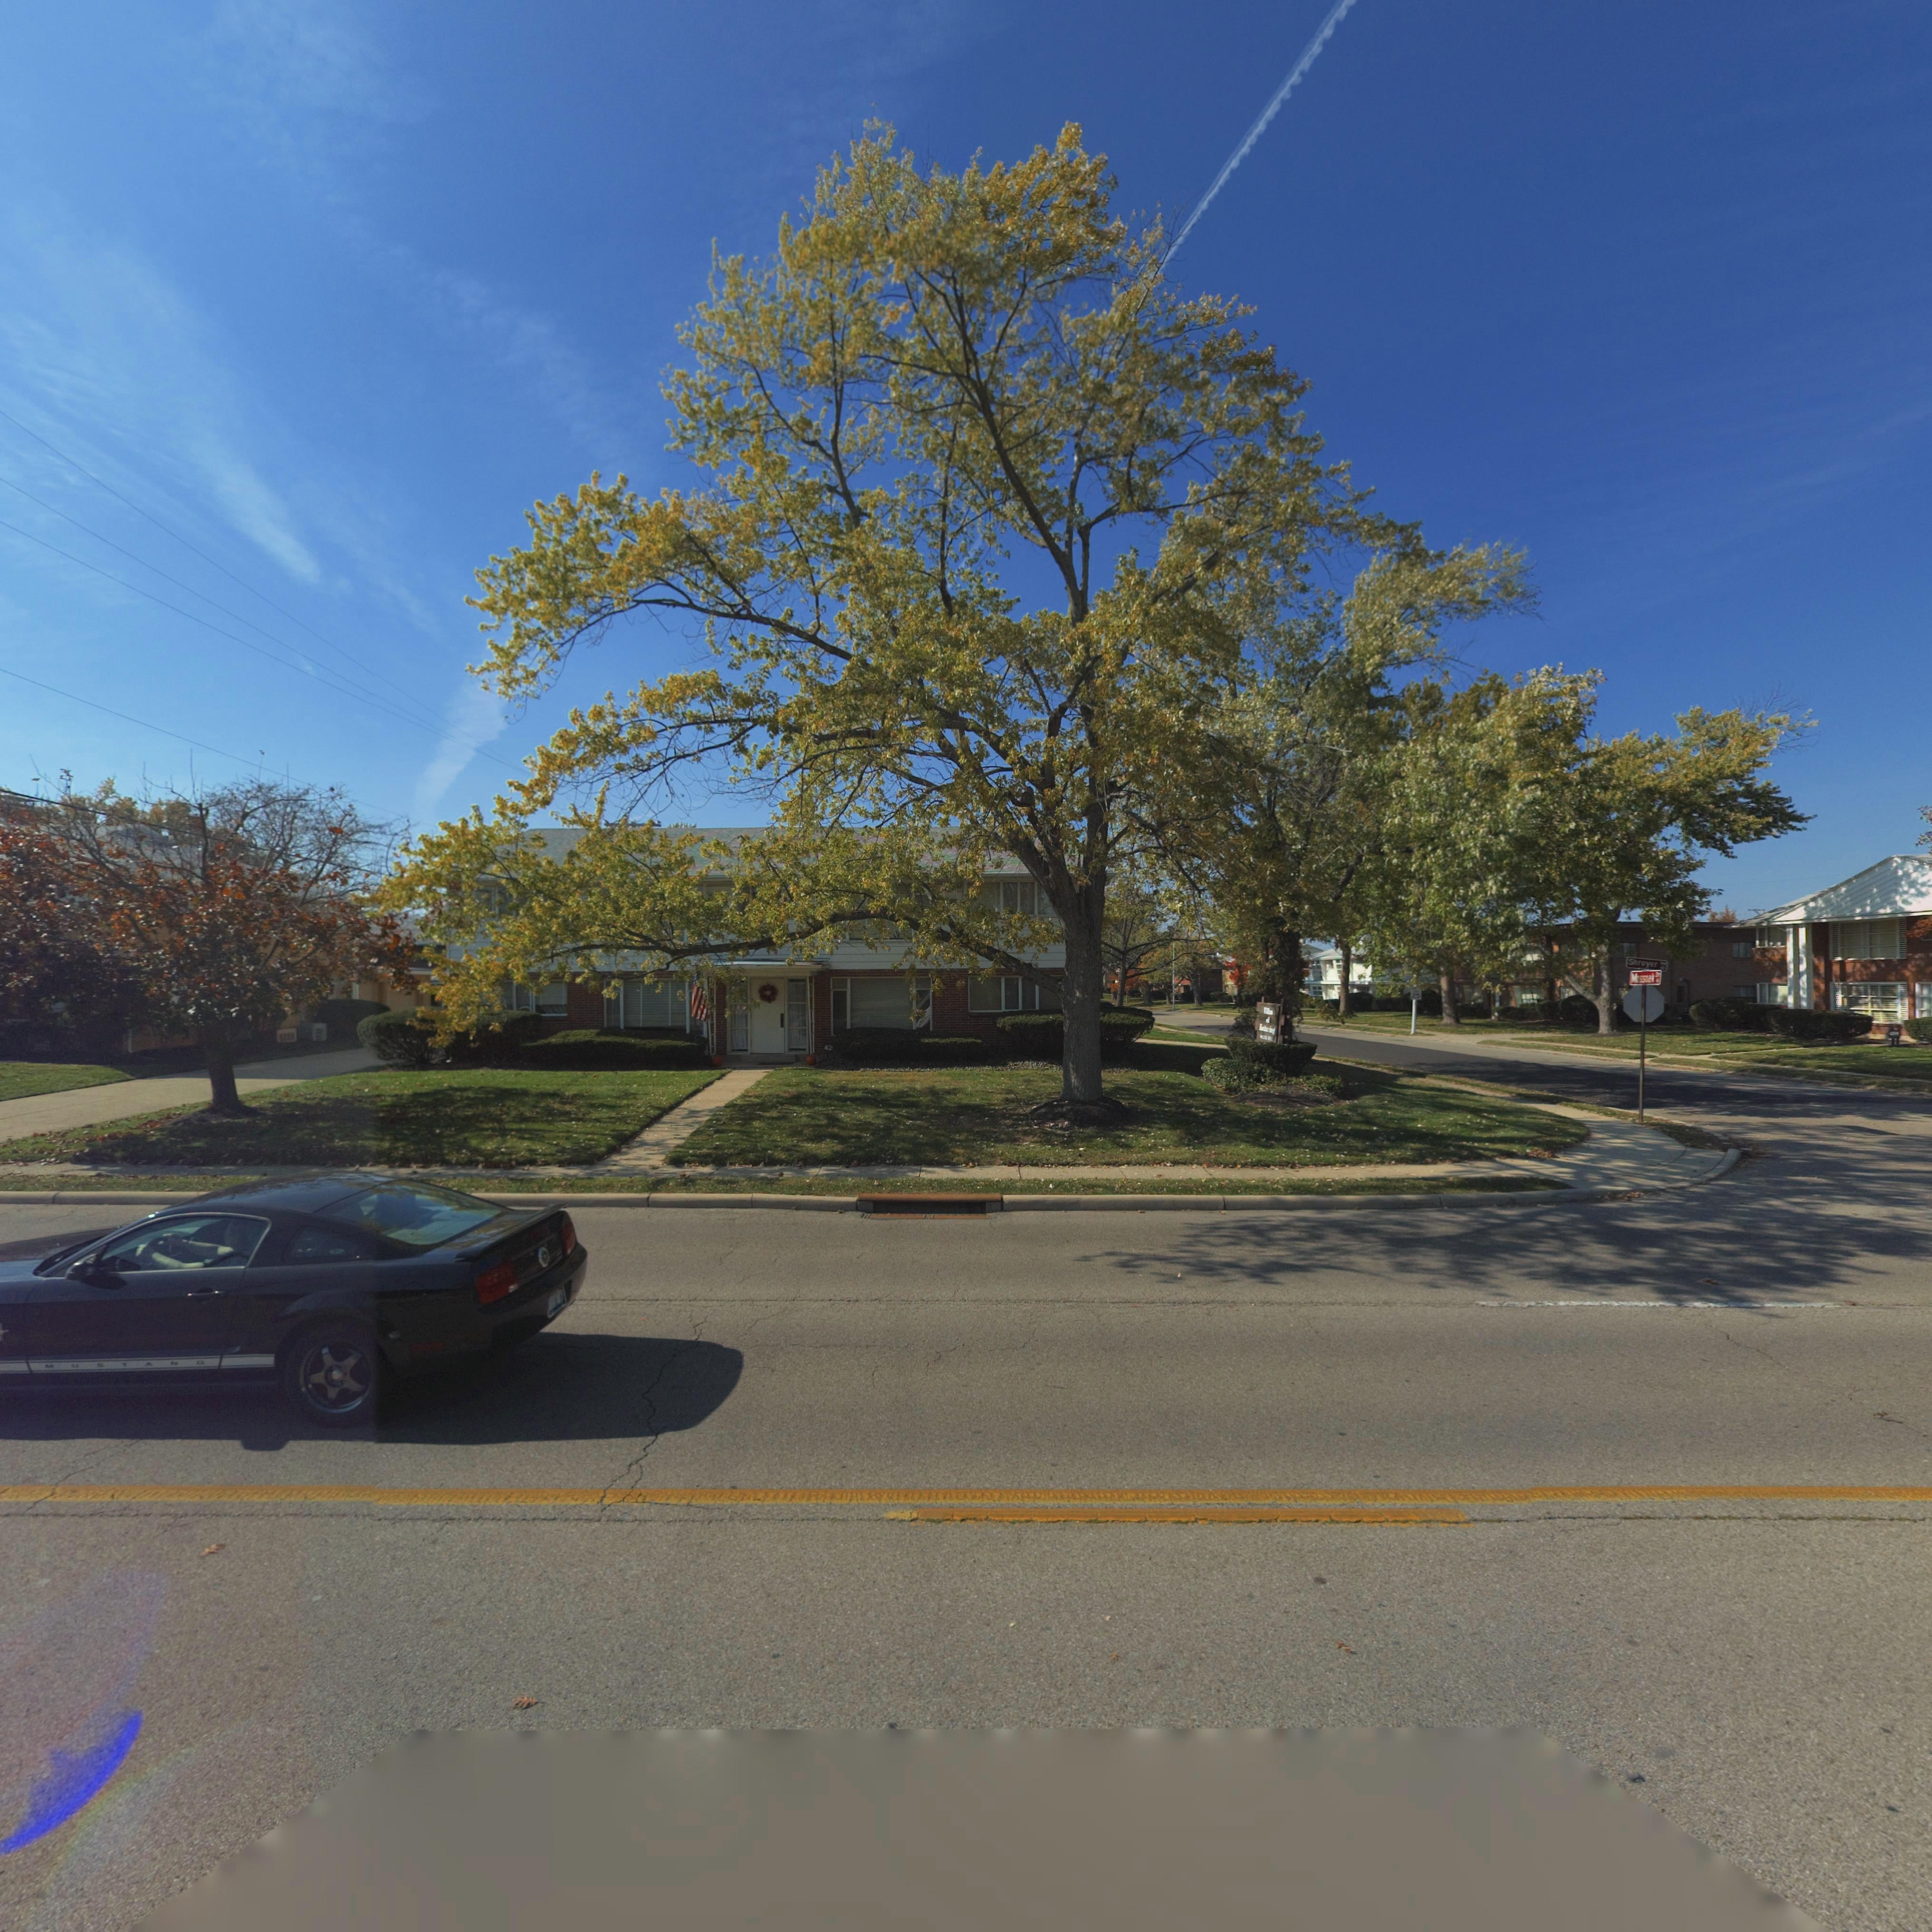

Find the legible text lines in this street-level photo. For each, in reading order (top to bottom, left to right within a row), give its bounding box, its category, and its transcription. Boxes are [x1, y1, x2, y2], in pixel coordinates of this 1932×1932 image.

[1628, 958, 1659, 968] StreetName: Shroyer
[1630, 972, 1661, 984] StreetName: M*ssoa* Dr
[1410, 993, 1421, 999] None: 25
[823, 1045, 832, 1051] StreetNumber: 42
[44, 1360, 204, 1369] None: MUSTANG